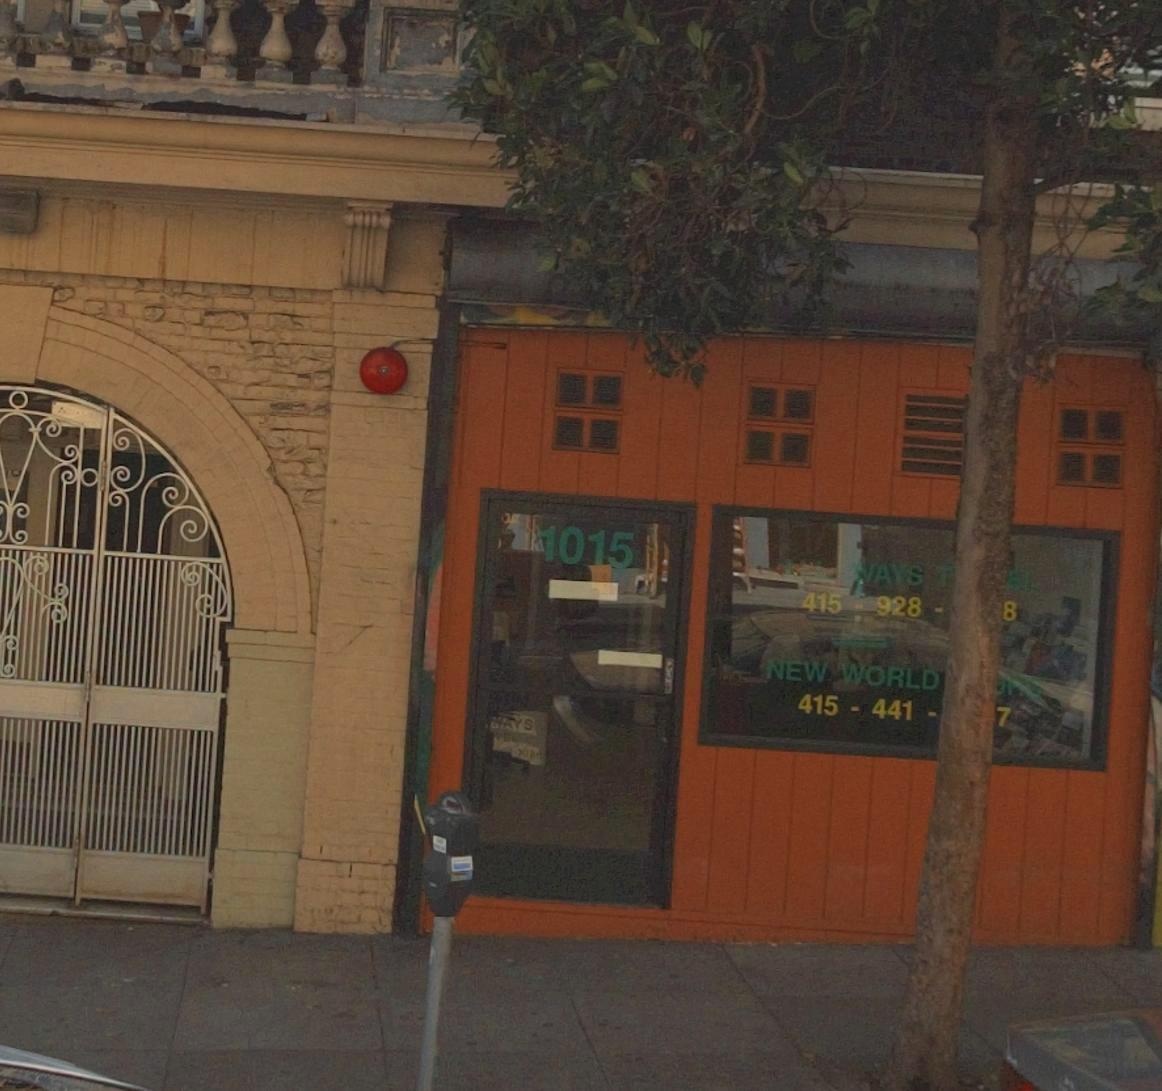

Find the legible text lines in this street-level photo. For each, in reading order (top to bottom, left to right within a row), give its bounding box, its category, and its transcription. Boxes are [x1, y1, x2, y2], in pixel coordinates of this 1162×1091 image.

[536, 524, 636, 573] StreetNumber: 1015
[846, 560, 953, 588] BusinessName: *AYS T
[799, 591, 1020, 623] None: 415 - 928 -****8
[764, 657, 942, 692] BusinessName: NEW WORLD
[511, 717, 535, 733] None: YS
[796, 692, 1013, 729] None: 415 - 441 -****7